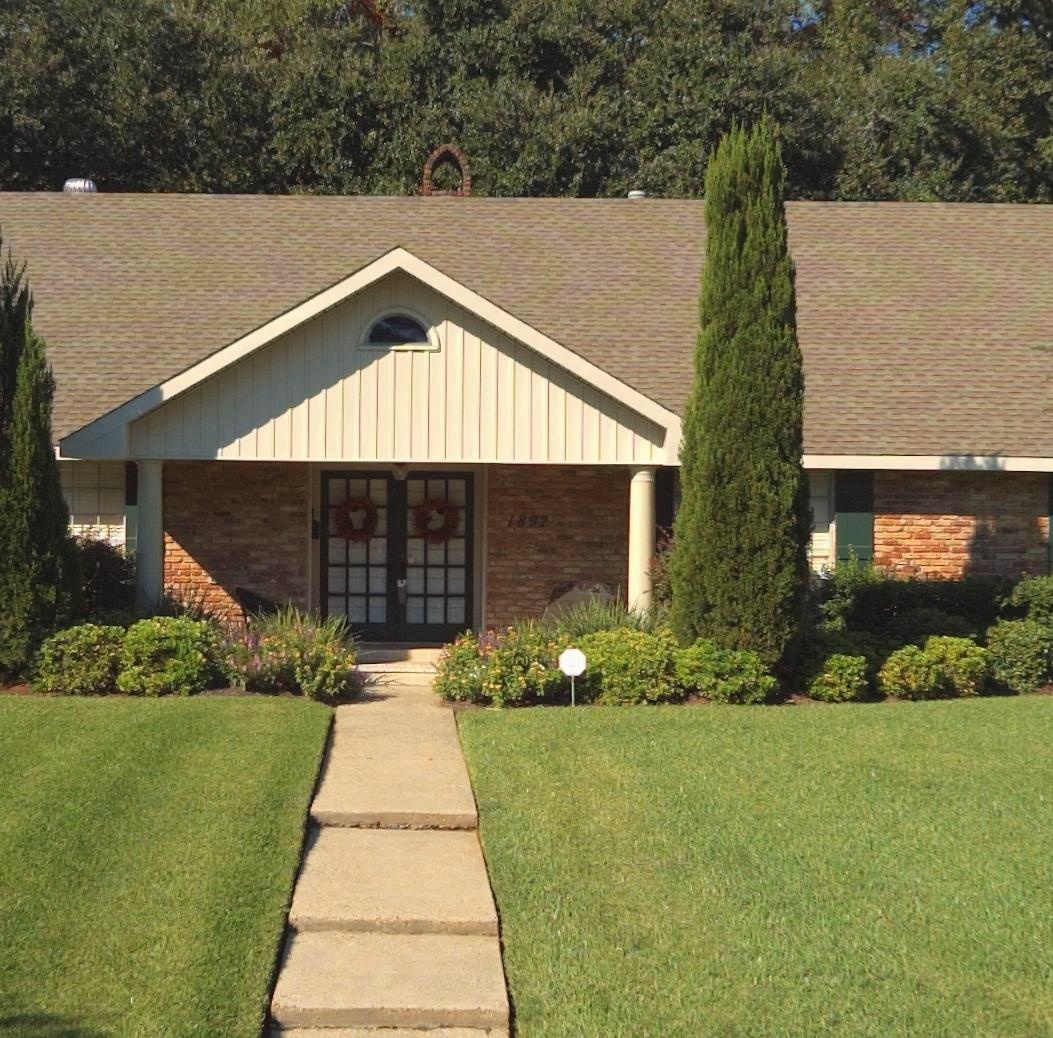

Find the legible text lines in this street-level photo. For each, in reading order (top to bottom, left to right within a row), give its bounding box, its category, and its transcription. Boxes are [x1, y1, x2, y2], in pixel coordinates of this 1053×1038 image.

[504, 511, 553, 530] StreetNumber: 1892